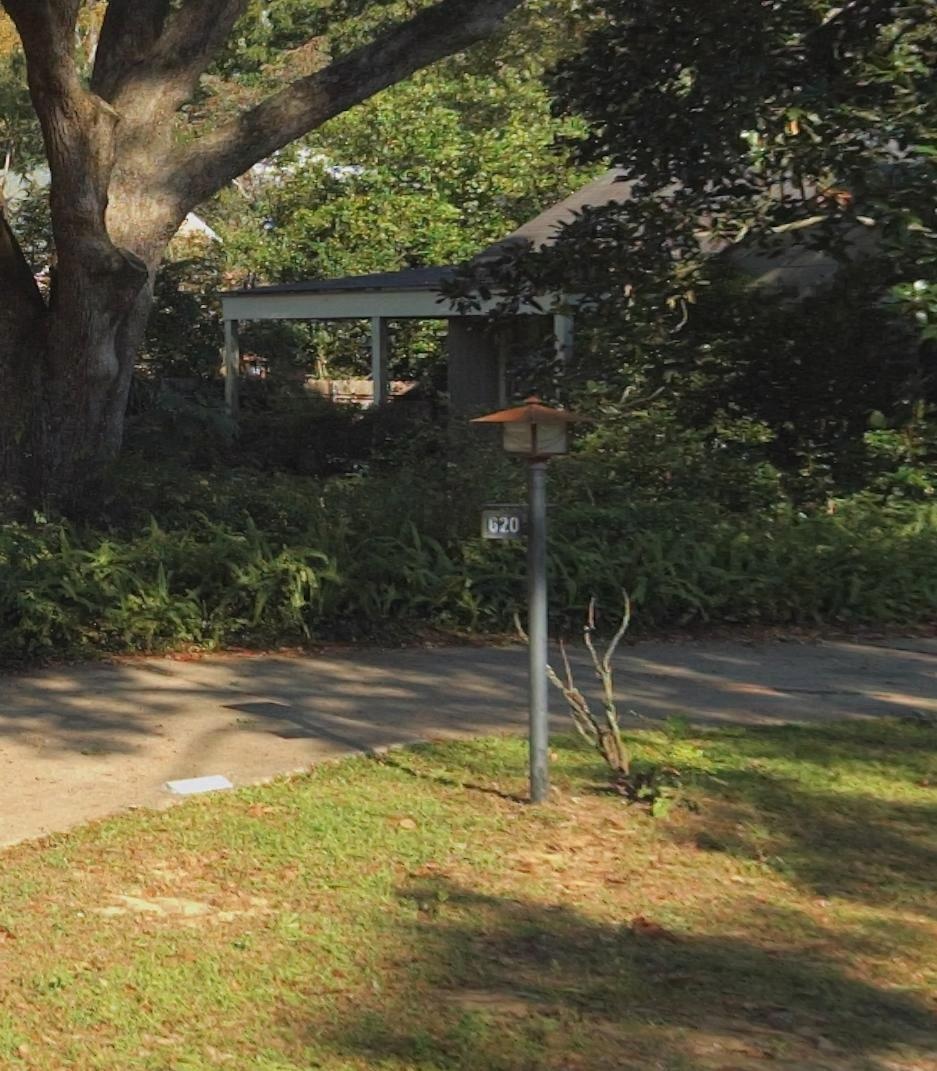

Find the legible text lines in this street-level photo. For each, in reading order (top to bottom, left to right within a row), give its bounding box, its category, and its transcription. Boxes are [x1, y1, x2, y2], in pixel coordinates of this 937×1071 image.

[487, 516, 520, 533] StreetNumber: 620